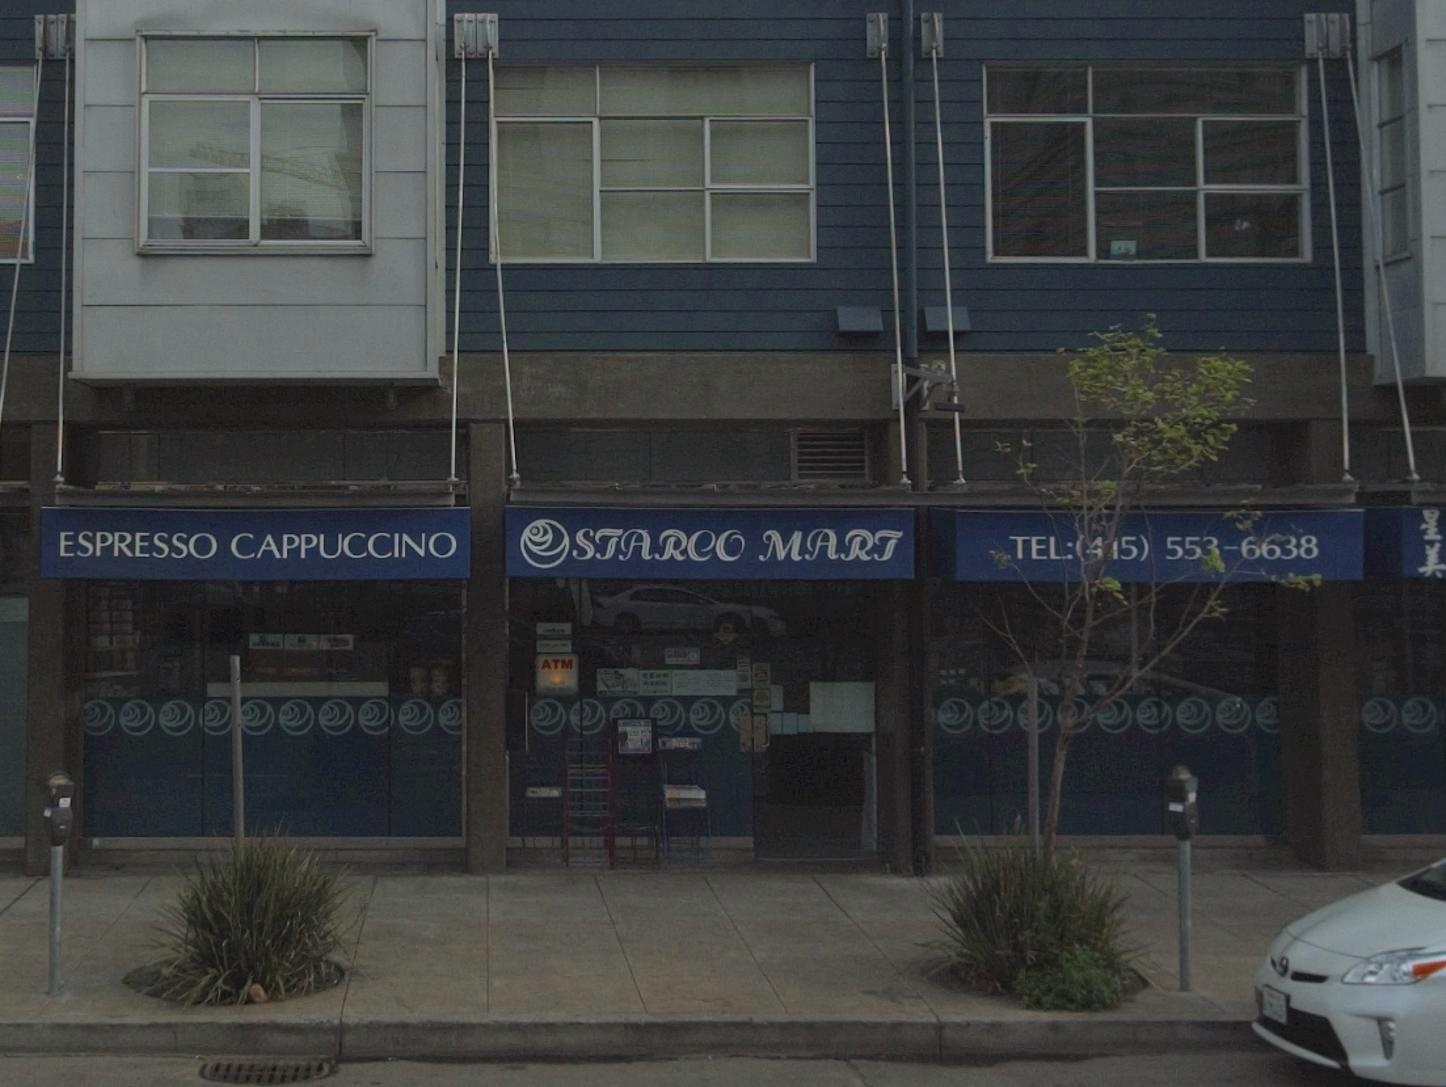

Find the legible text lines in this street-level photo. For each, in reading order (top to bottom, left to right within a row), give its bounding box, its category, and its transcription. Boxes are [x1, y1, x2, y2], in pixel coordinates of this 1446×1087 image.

[57, 528, 460, 563] None: ESPRESSO CAPPUCCINO
[566, 524, 911, 564] BusinessName: STARCO MART
[1005, 531, 1322, 563] None: TEL:***5) 55*-6638
[538, 655, 576, 673] None: ATM